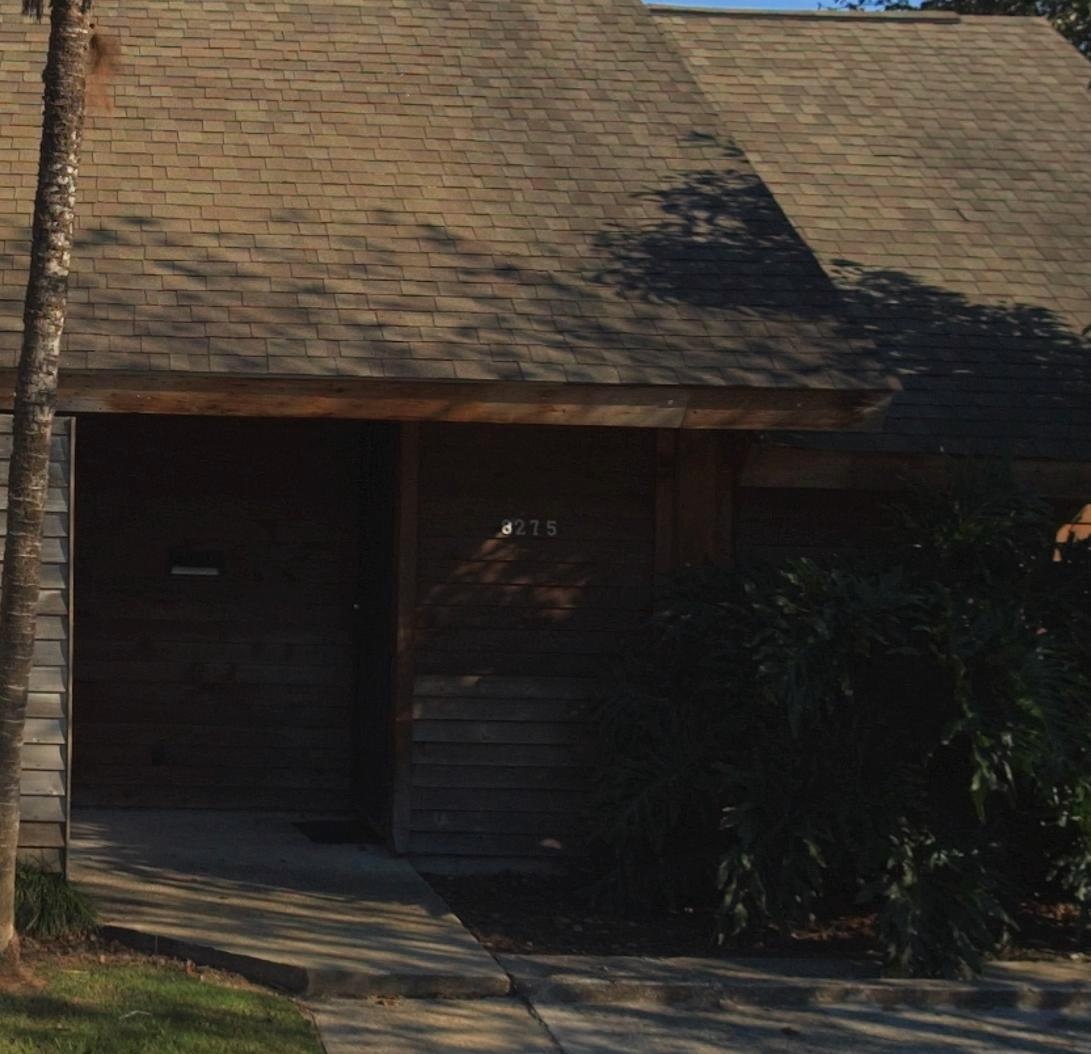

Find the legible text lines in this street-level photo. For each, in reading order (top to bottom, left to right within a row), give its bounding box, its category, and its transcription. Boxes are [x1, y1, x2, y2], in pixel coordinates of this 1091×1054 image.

[500, 517, 558, 537] StreetNumber: 8275